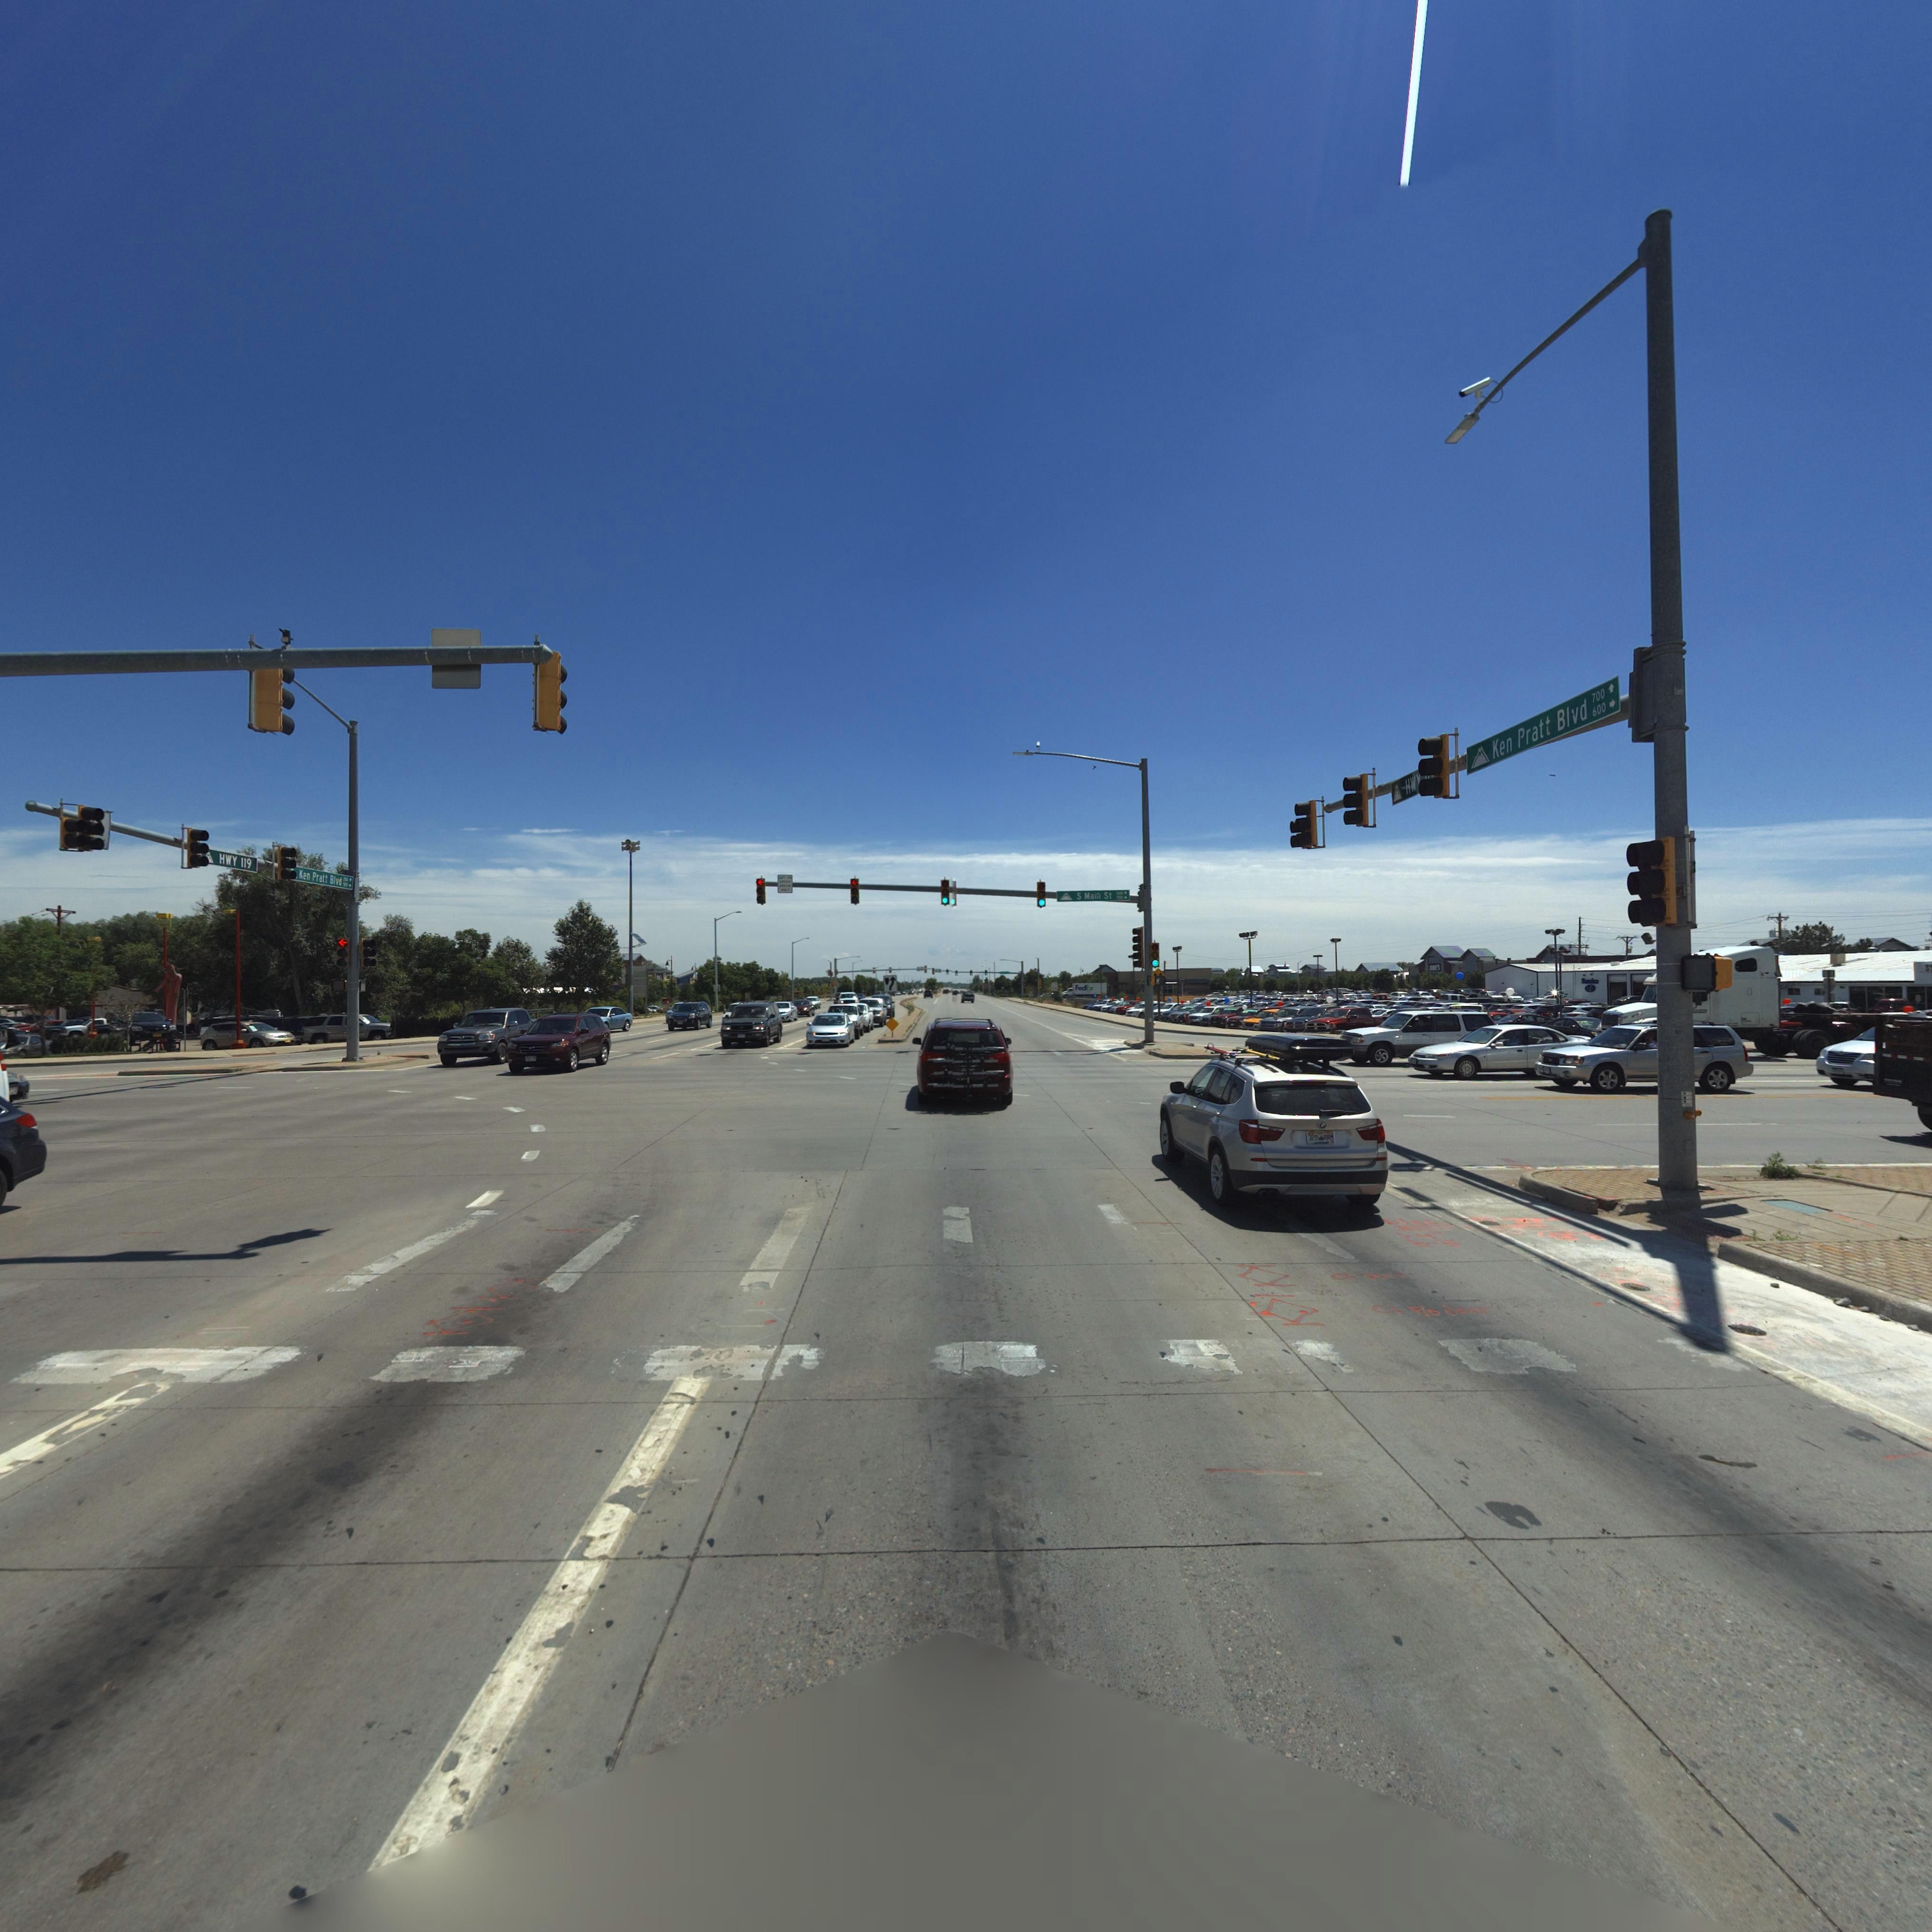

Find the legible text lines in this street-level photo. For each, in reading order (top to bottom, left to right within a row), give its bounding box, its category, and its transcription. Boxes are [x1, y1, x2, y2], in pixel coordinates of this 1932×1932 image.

[1590, 688, 1605, 703] StreetNumberRange: 700
[1592, 699, 1615, 716] StreetNumberRange: 600->
[1492, 697, 1587, 759] StreetName: Ken Pratt Blvd
[1404, 773, 1421, 794] StreetName: HW*
[219, 853, 252, 869] StreetName: HWY 119
[299, 869, 342, 886] StreetName: Ken Pratt Blvd
[1076, 891, 1112, 899] StreetName: S Main St
[1116, 891, 1123, 895] StreetNumberRange: 500
[1116, 896, 1128, 899] StreetNumberRange: 700->